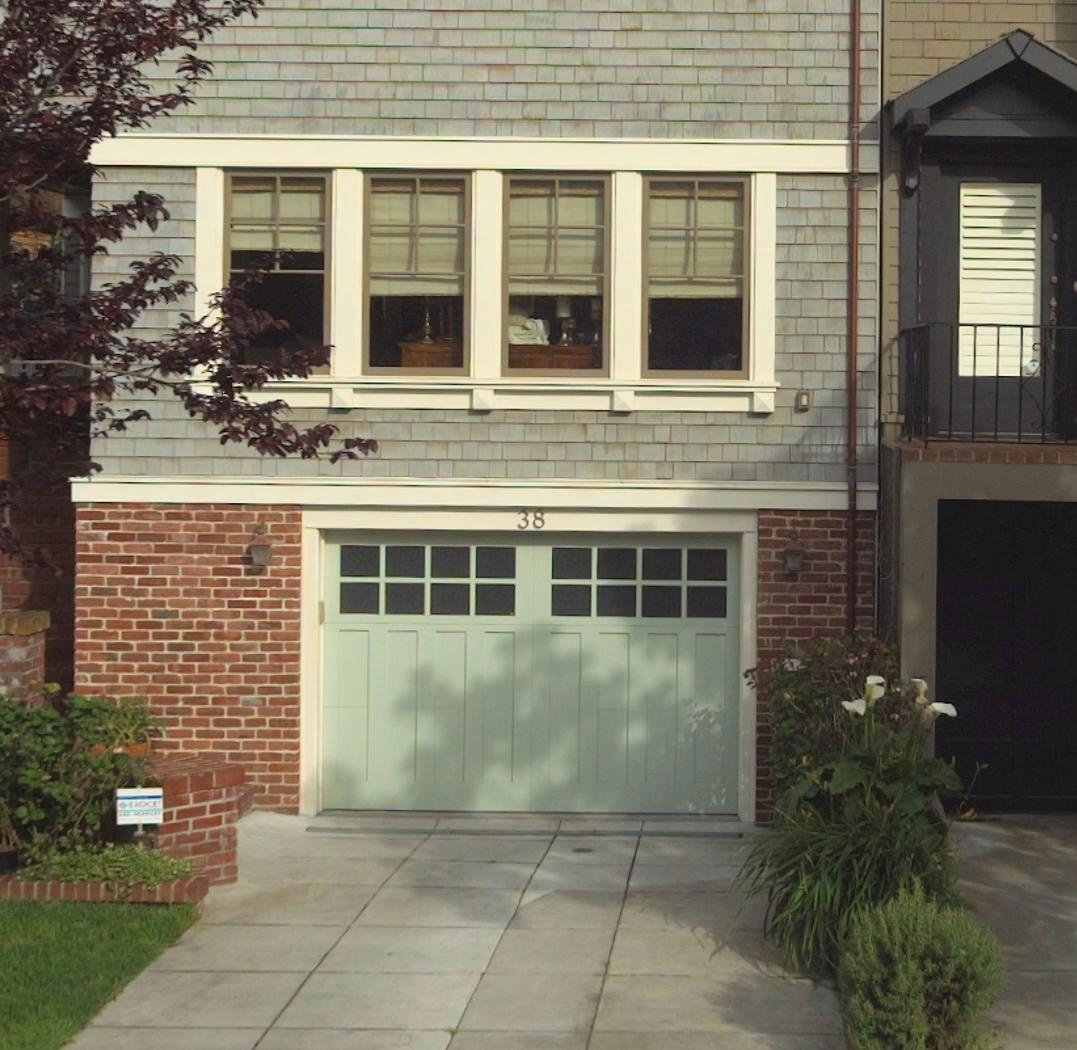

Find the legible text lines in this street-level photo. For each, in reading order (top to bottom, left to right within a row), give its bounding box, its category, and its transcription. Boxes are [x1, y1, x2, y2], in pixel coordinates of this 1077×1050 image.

[516, 509, 545, 530] StreetNumber: 38